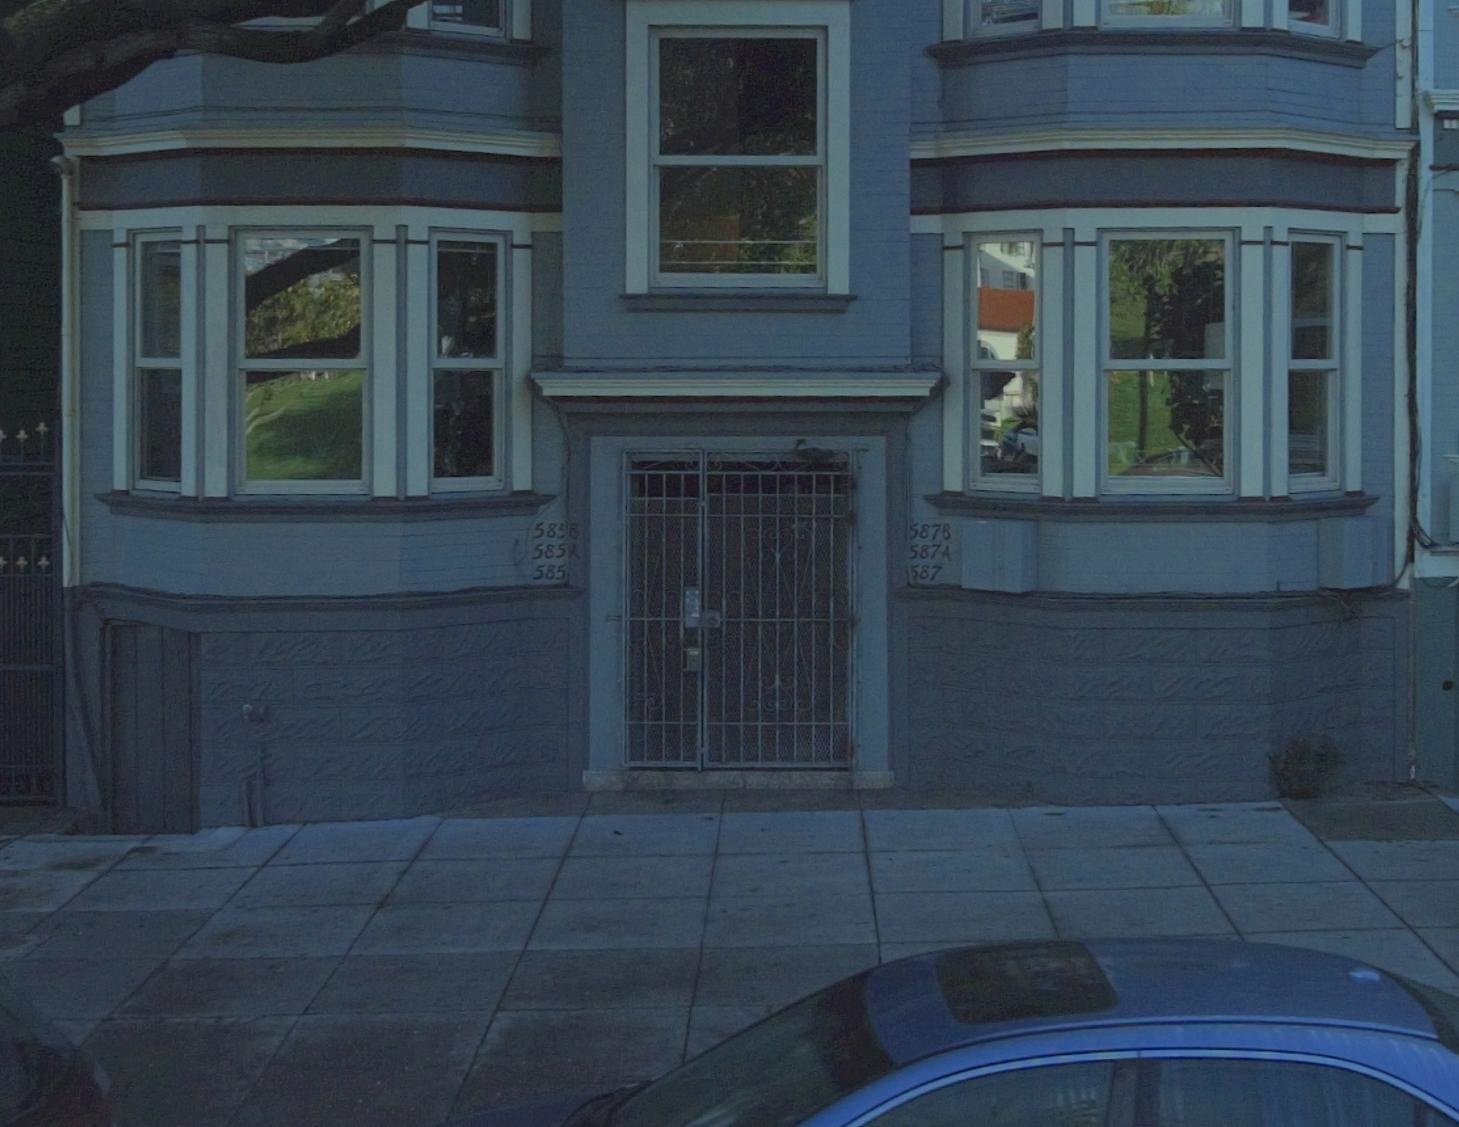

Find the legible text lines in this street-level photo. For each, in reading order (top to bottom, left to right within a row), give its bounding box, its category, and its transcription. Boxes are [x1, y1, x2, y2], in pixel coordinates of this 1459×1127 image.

[530, 521, 580, 541] StreetNumber: 585B
[909, 520, 953, 541] StreetNumber: 587B
[529, 542, 581, 560] StreetNumber: 585A
[908, 542, 954, 561] StreetNumber: 587A
[530, 562, 565, 580] StreetNumber: 585
[908, 562, 943, 581] StreetNumber: 587